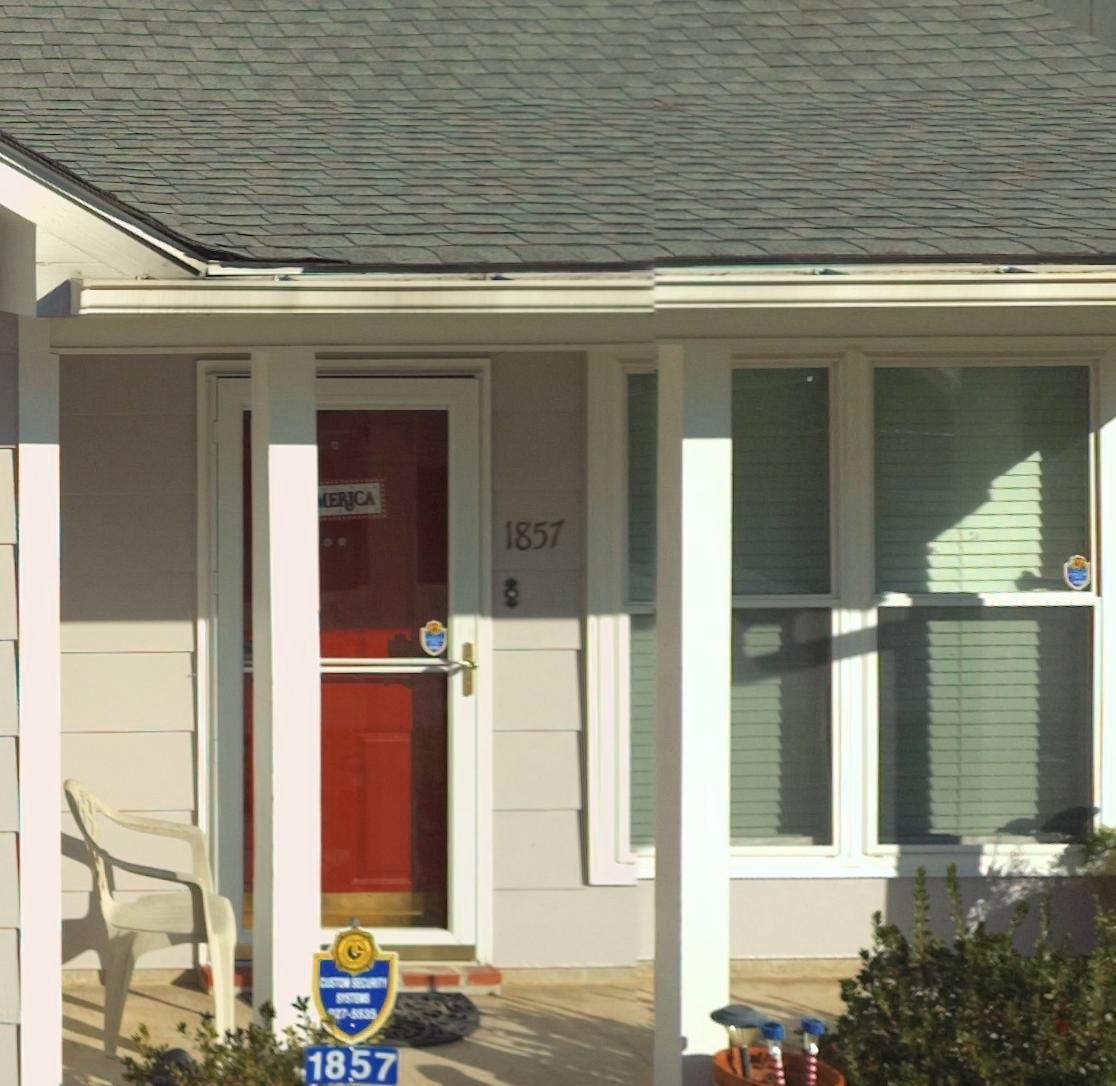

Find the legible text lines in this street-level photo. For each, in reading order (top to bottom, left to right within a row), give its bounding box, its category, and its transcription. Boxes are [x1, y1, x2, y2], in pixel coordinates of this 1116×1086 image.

[325, 488, 380, 512] None: ERICA
[501, 516, 568, 554] StreetNumber: 1857
[303, 1045, 401, 1085] StreetNumber: 1857